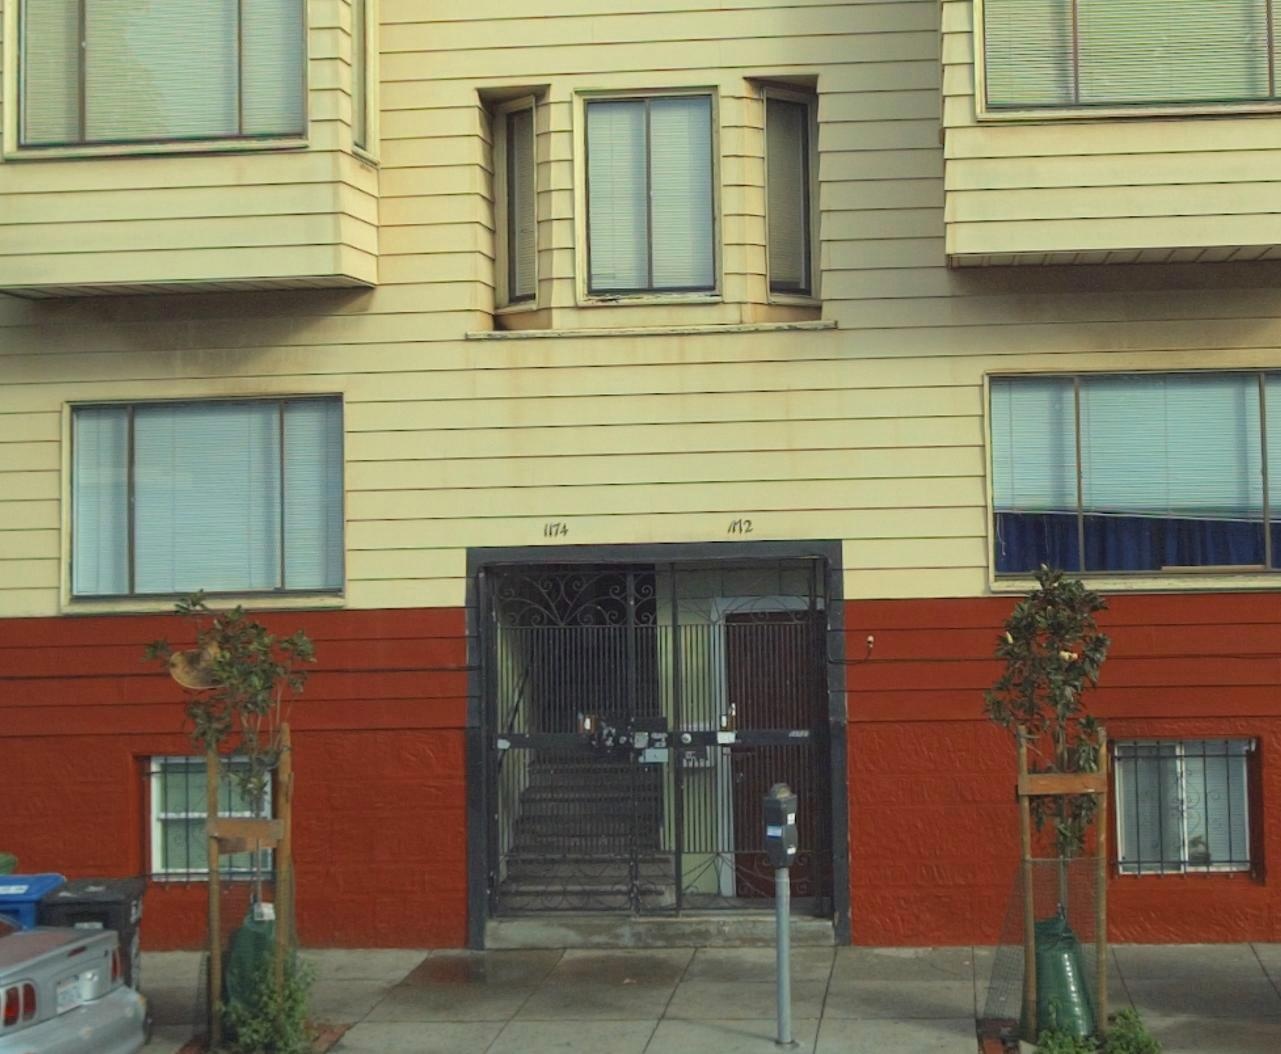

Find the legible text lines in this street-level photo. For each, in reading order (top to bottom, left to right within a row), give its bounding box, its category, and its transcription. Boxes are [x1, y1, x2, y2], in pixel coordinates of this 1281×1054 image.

[542, 520, 570, 539] StreetNumber: 1174
[725, 517, 756, 537] StreetNumber: **72